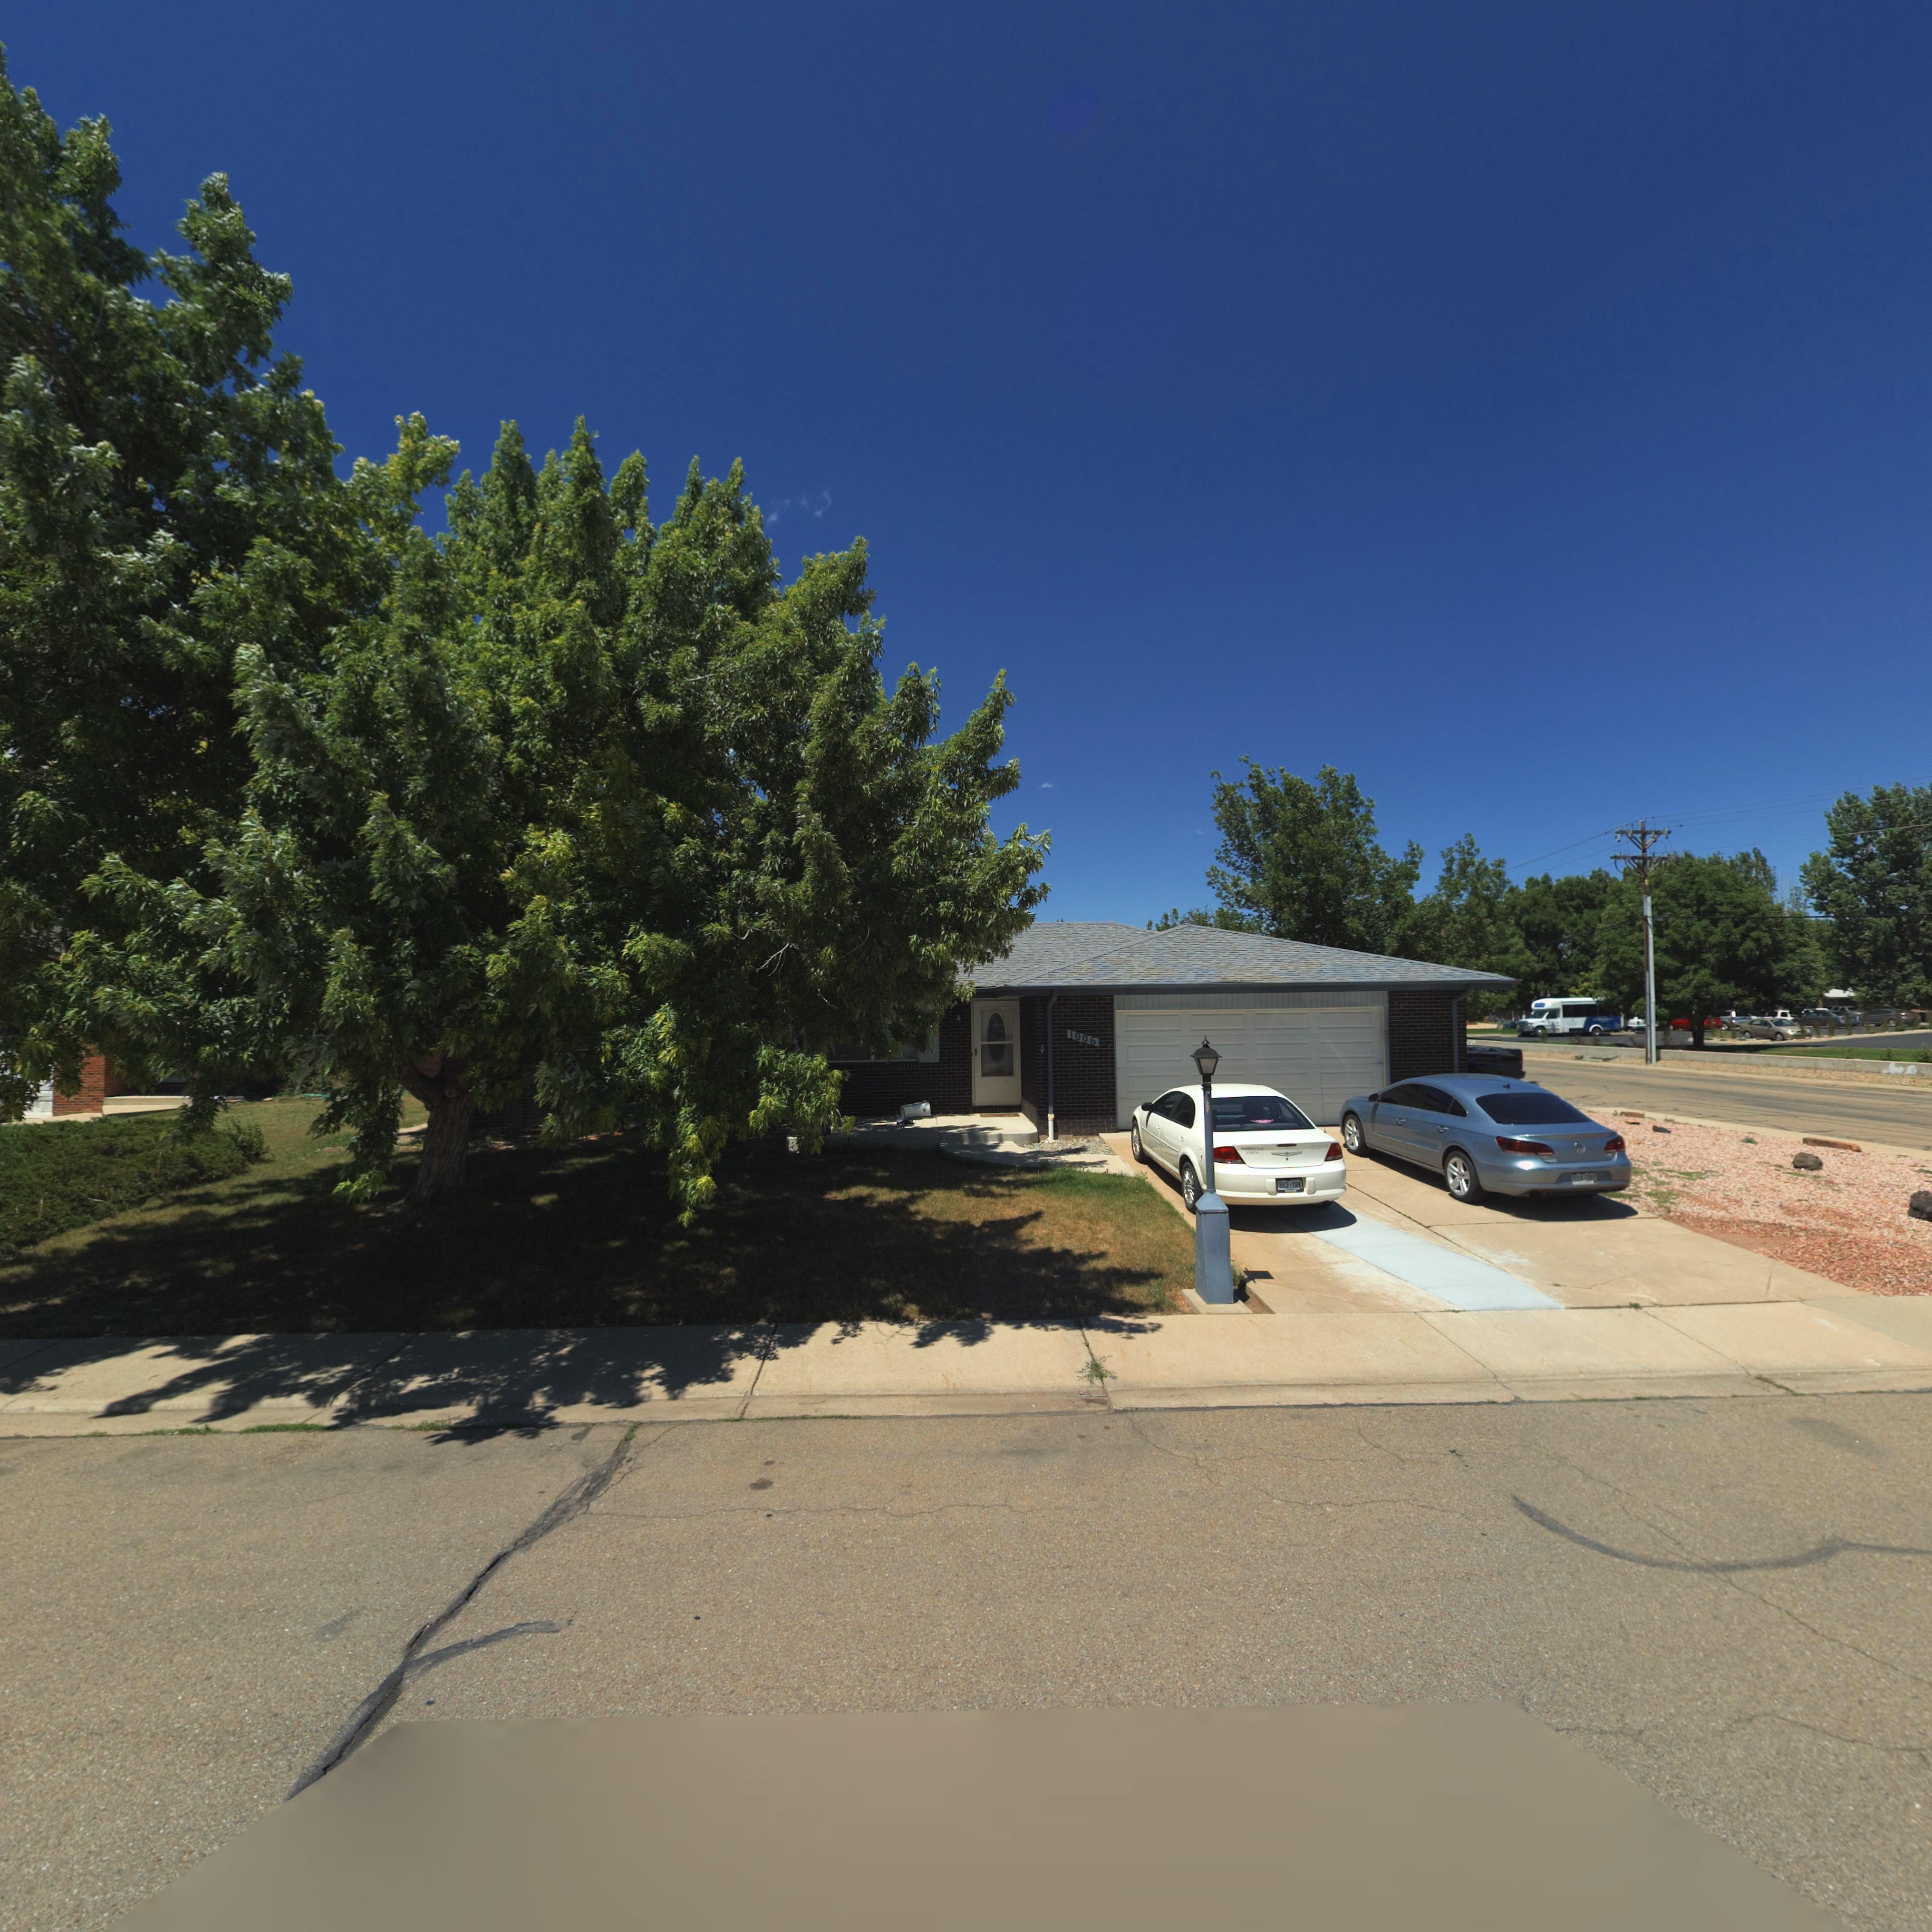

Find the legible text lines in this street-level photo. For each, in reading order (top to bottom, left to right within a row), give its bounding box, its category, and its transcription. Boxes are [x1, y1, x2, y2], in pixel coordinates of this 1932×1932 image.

[1070, 1030, 1096, 1045] StreetNumber: 1006